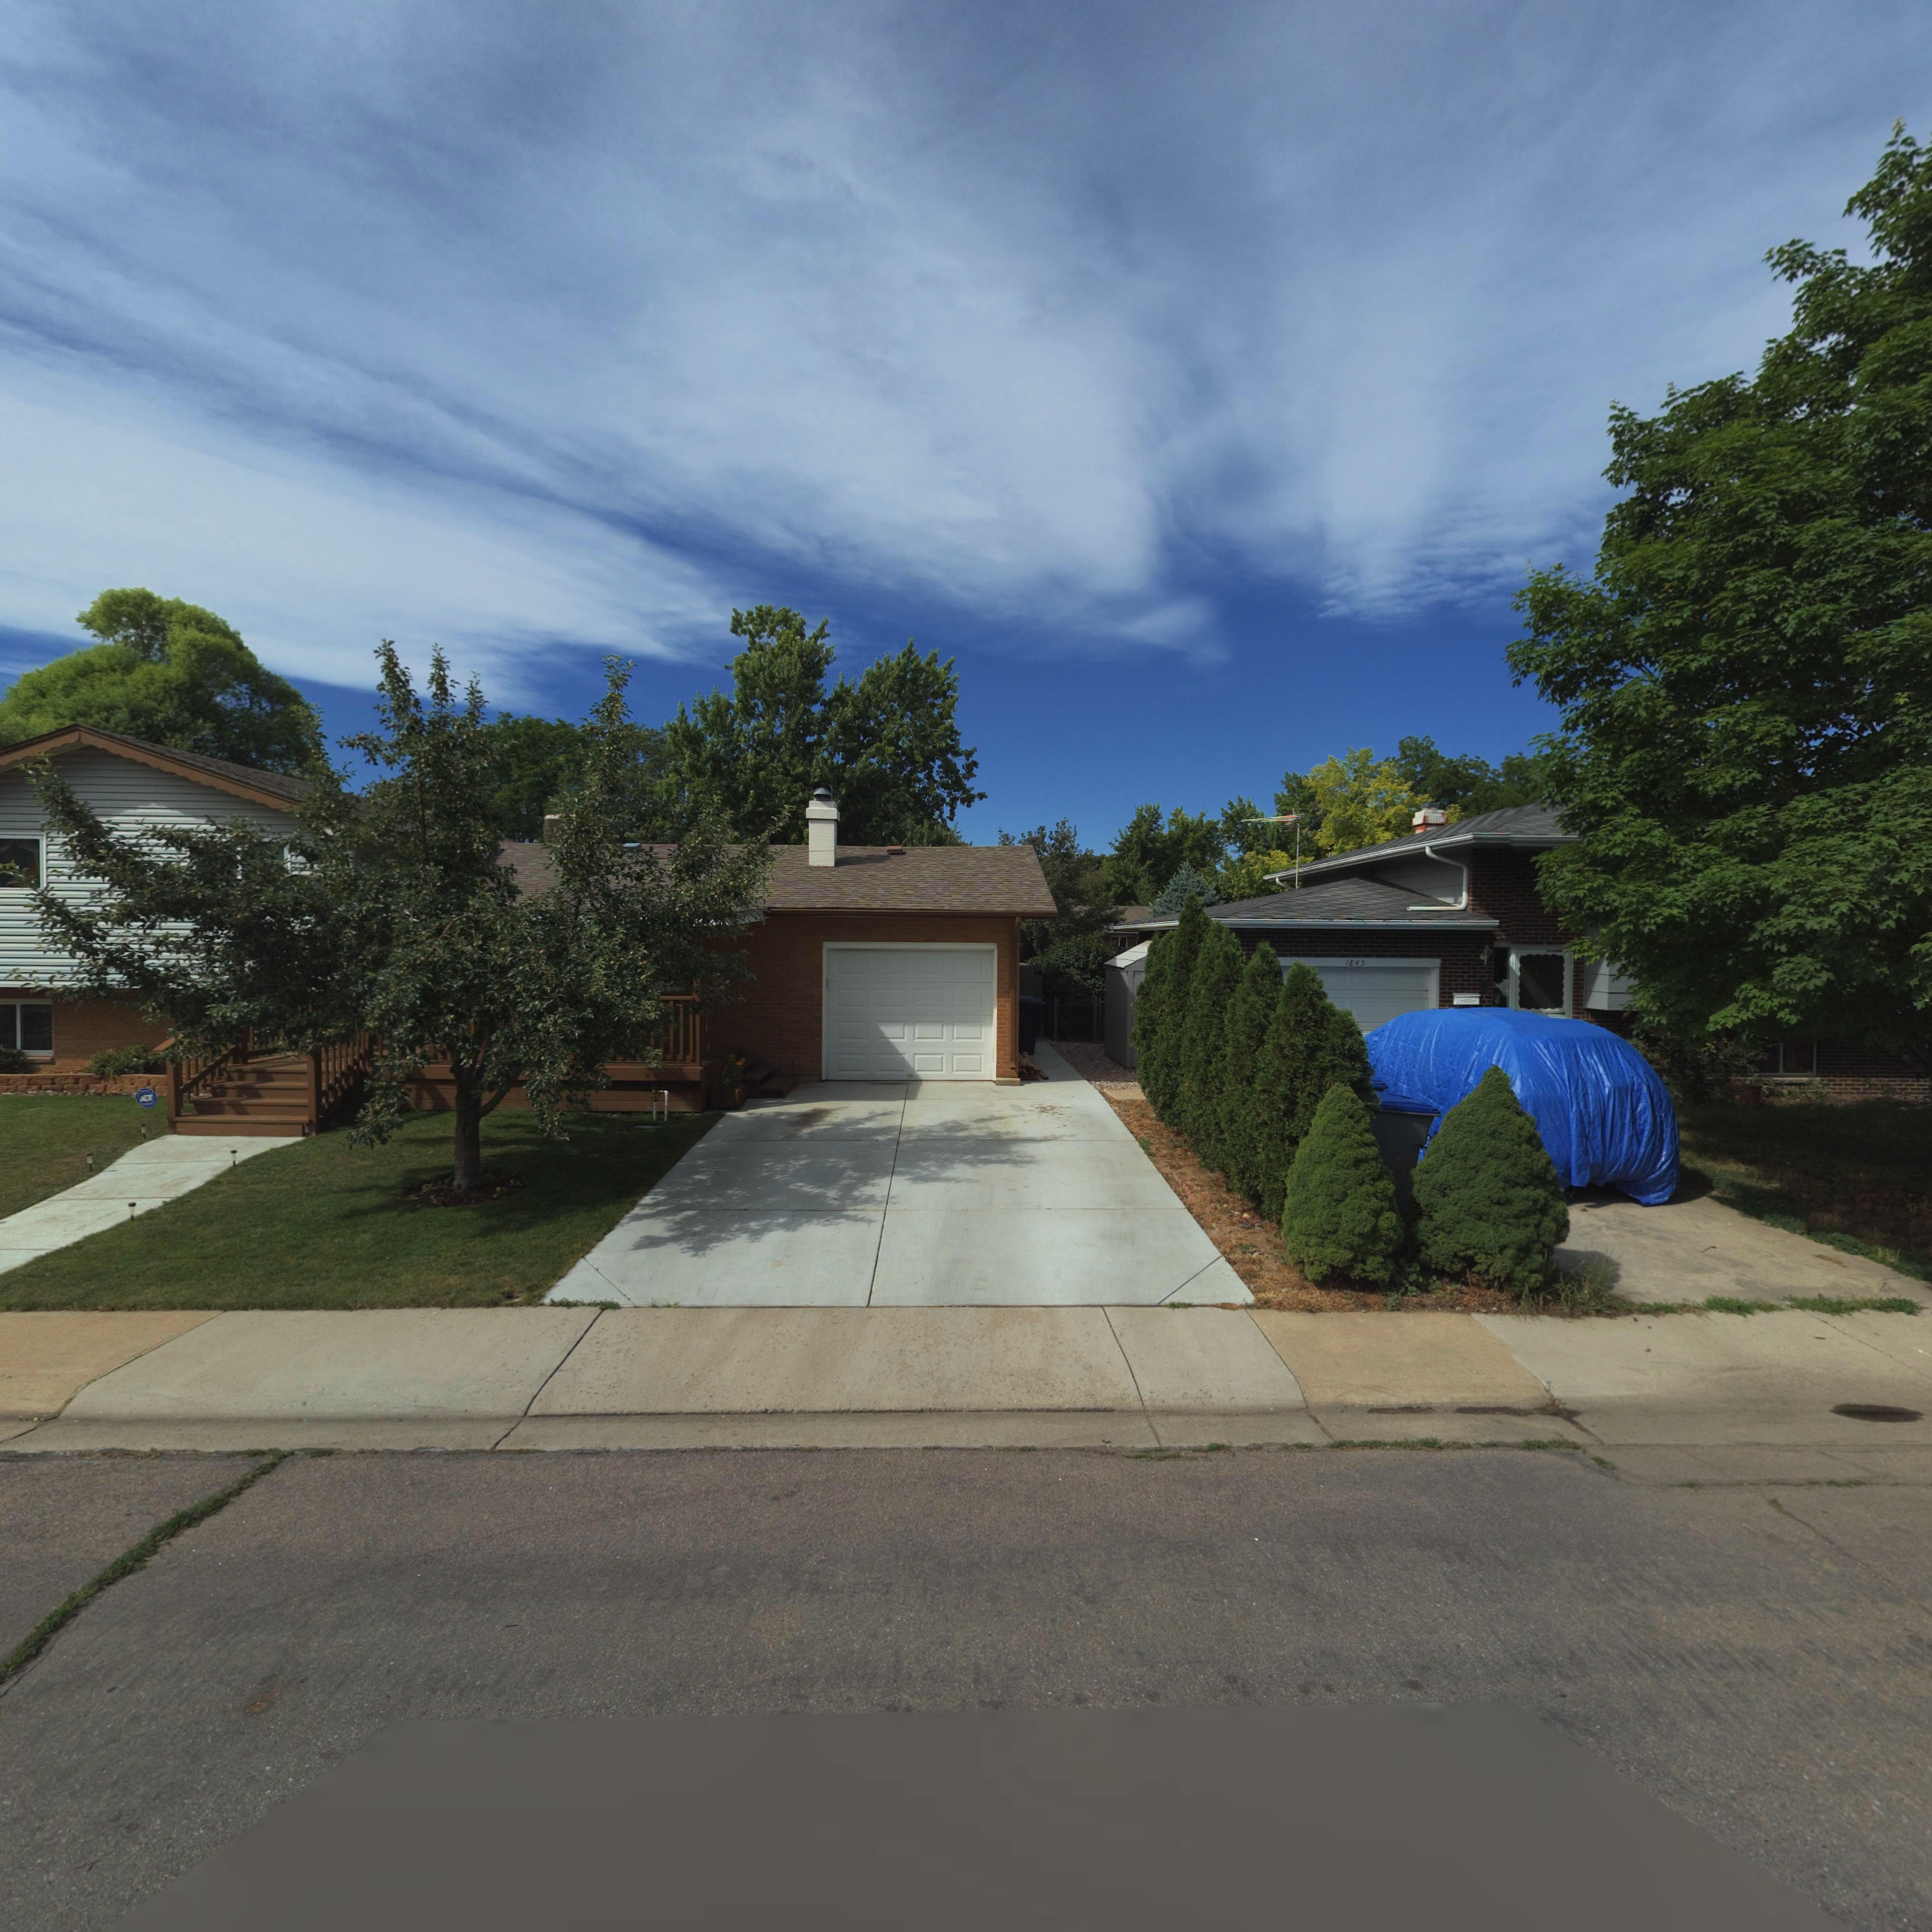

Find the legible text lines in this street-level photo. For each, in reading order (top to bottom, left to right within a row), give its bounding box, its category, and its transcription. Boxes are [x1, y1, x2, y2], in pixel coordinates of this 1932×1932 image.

[1344, 959, 1365, 966] StreetNumber: 1845